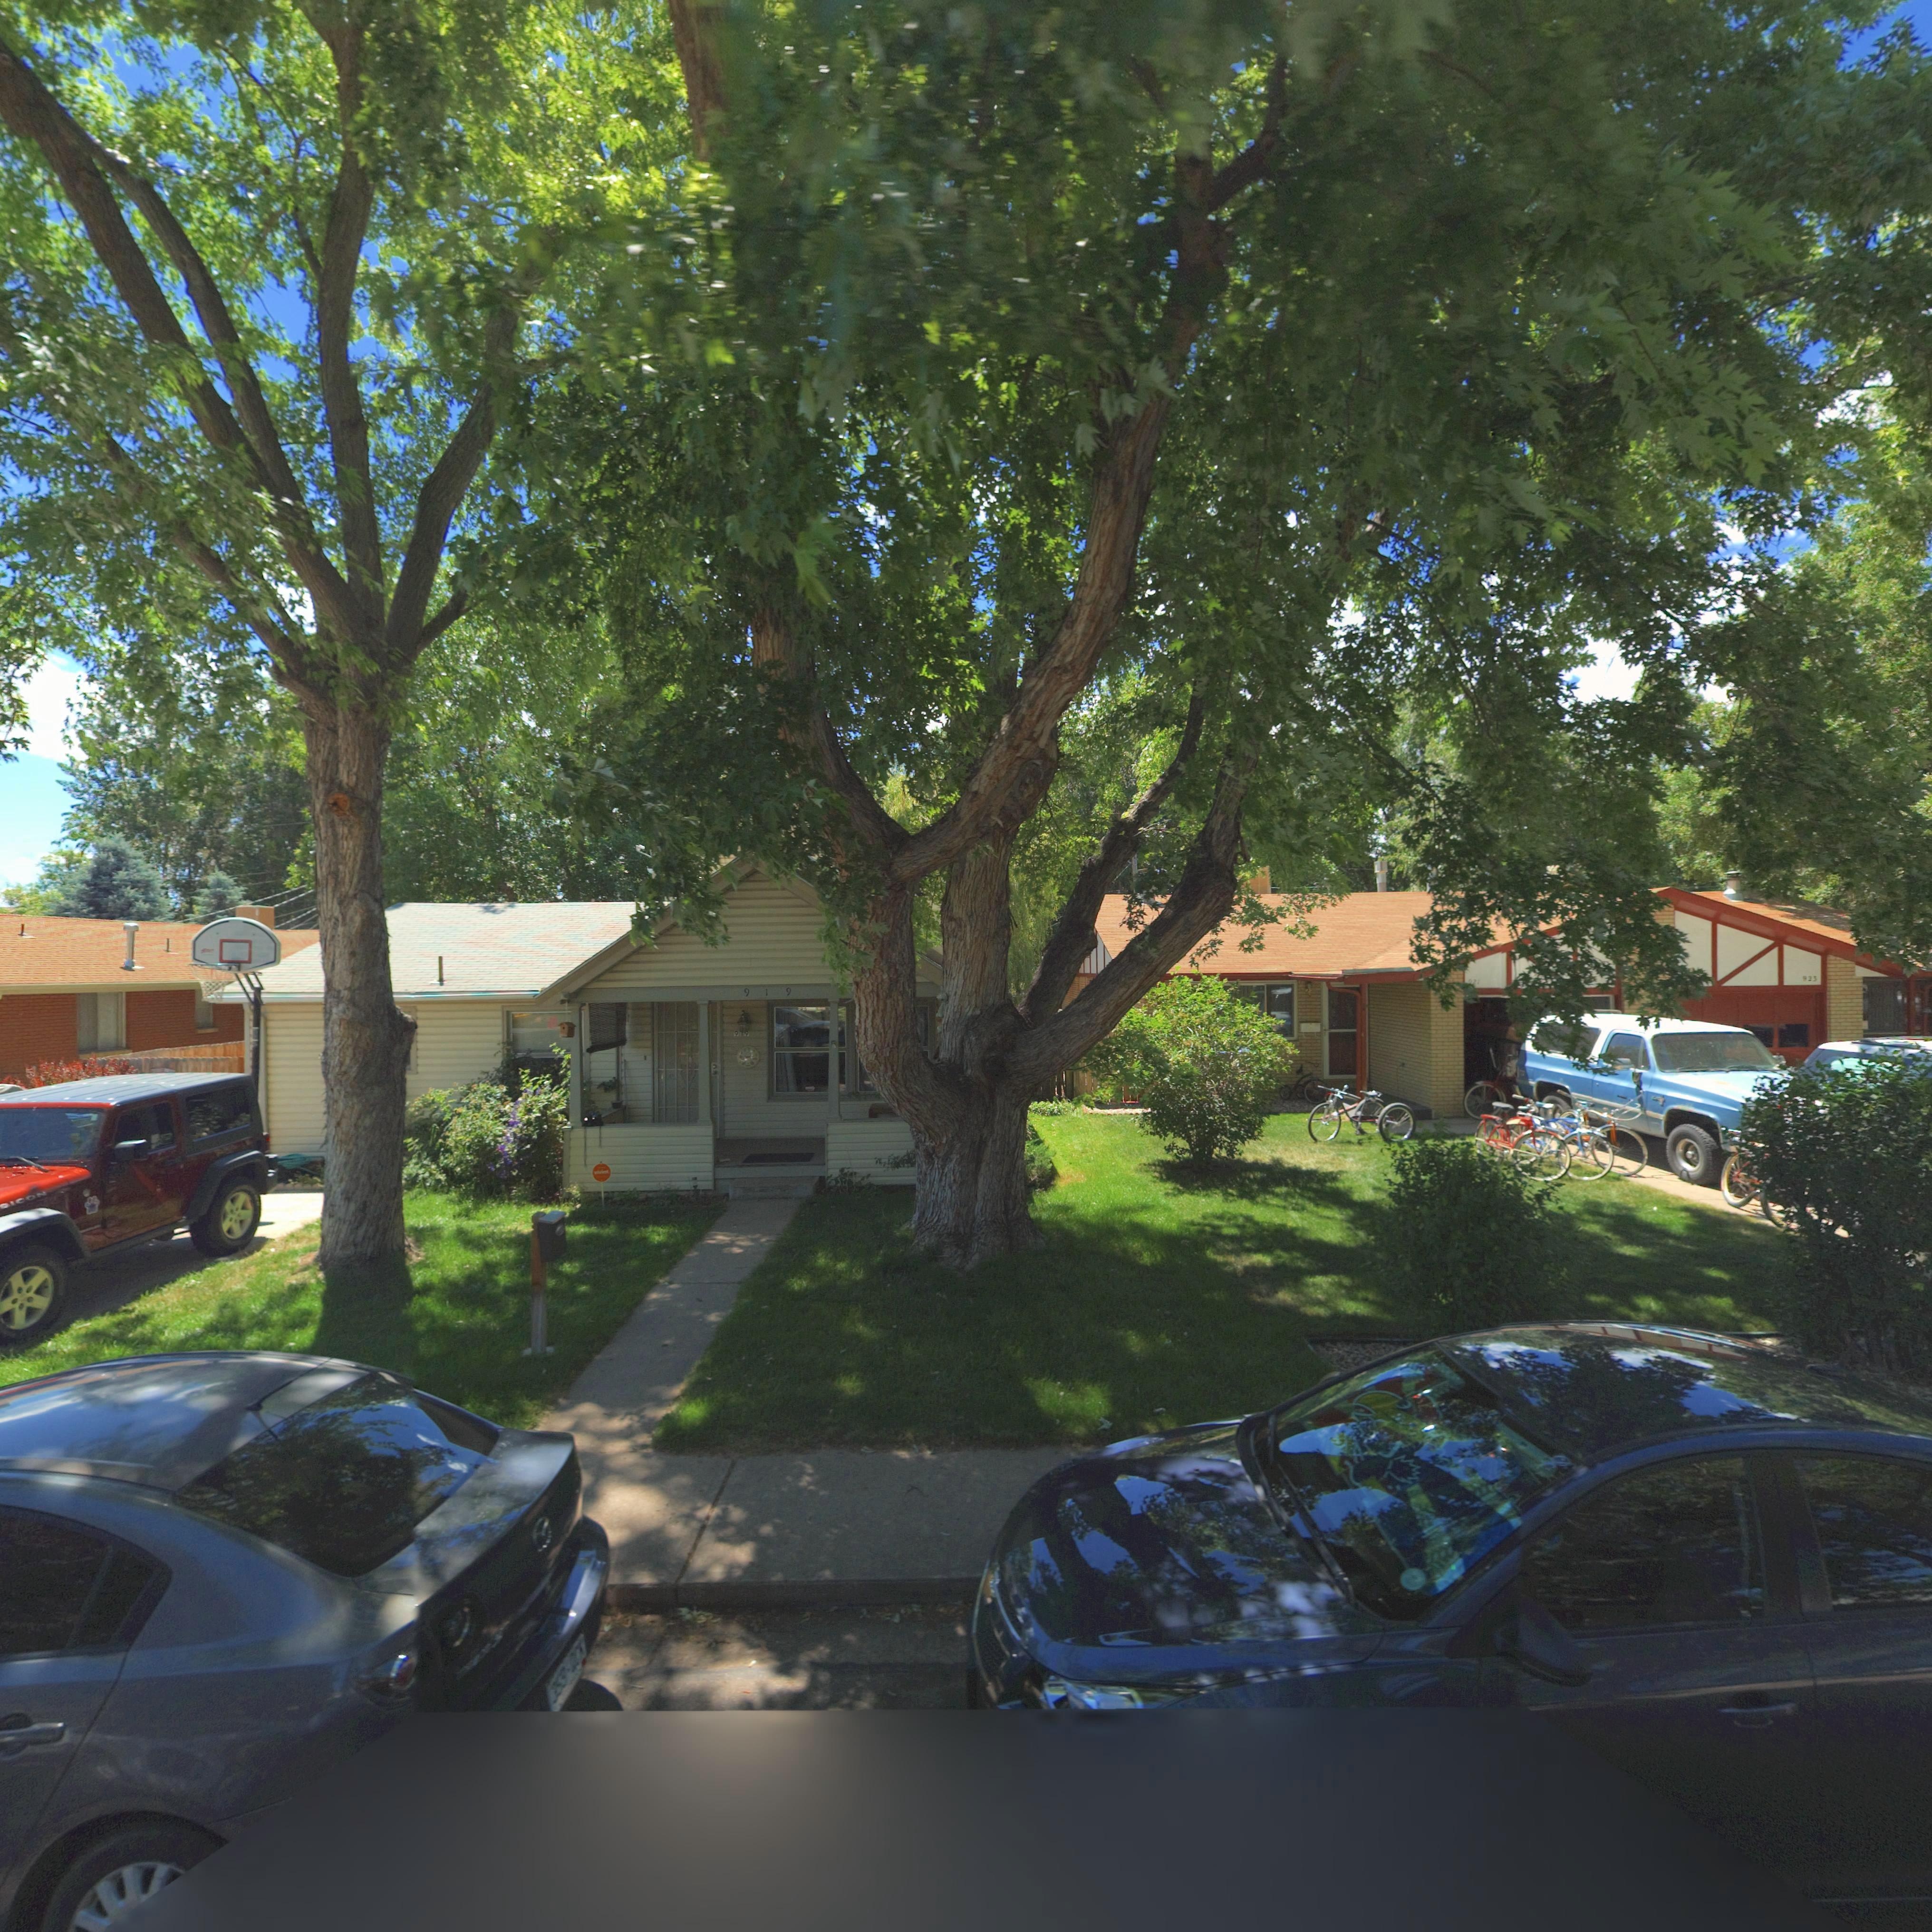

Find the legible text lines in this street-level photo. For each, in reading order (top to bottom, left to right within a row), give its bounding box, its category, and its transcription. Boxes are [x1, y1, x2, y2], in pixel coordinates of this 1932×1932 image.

[1467, 978, 1480, 985] StreetNumber: 921
[1802, 975, 1817, 982] StreetNumber: *23
[743, 986, 792, 997] StreetNumber: 919
[734, 1030, 749, 1036] StreetNumber: 919